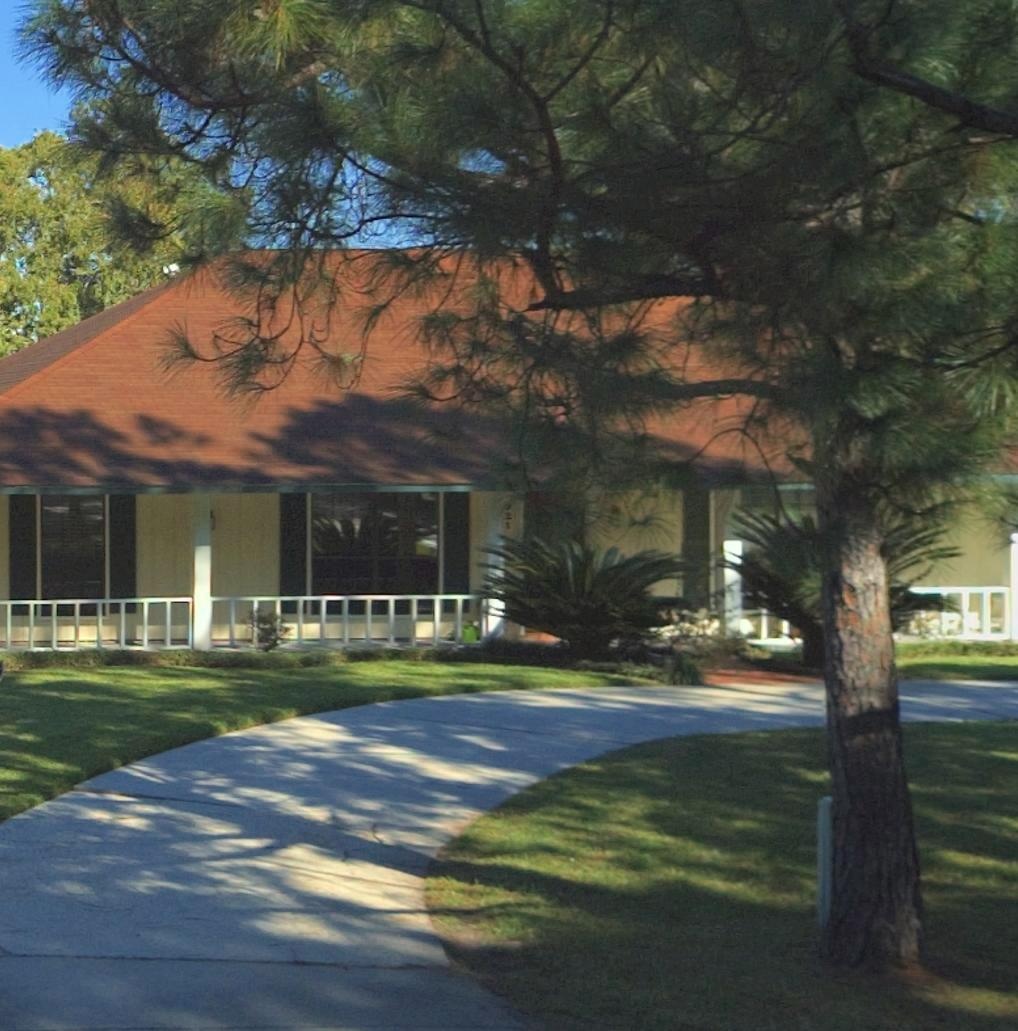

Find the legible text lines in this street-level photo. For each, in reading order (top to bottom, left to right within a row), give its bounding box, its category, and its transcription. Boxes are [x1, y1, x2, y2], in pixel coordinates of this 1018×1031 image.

[503, 501, 513, 531] StreetNumber: *21